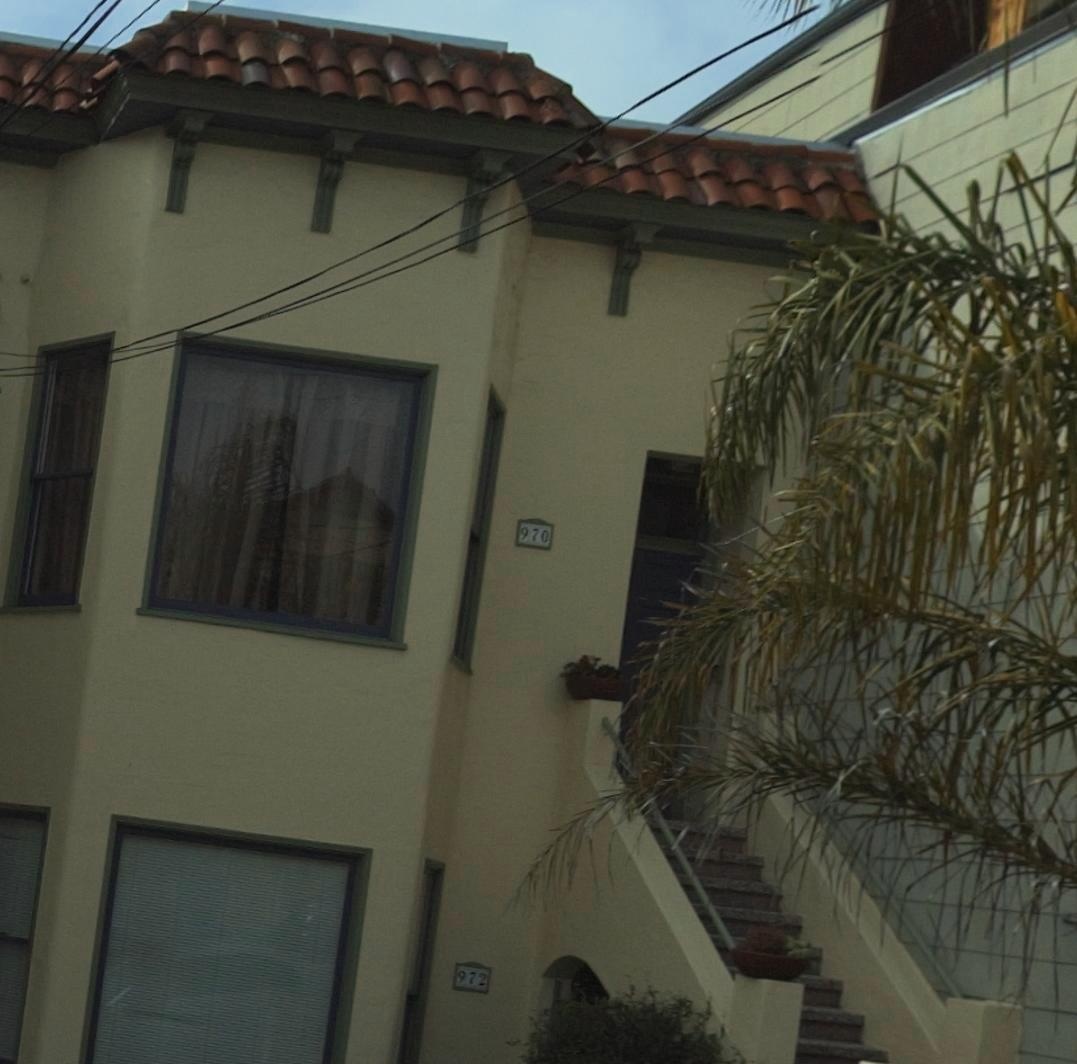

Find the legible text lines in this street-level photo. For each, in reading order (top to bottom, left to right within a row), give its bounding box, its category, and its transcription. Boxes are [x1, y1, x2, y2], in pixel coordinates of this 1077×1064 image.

[519, 526, 551, 545] StreetNumber: 970
[457, 969, 489, 988] StreetNumber: 972